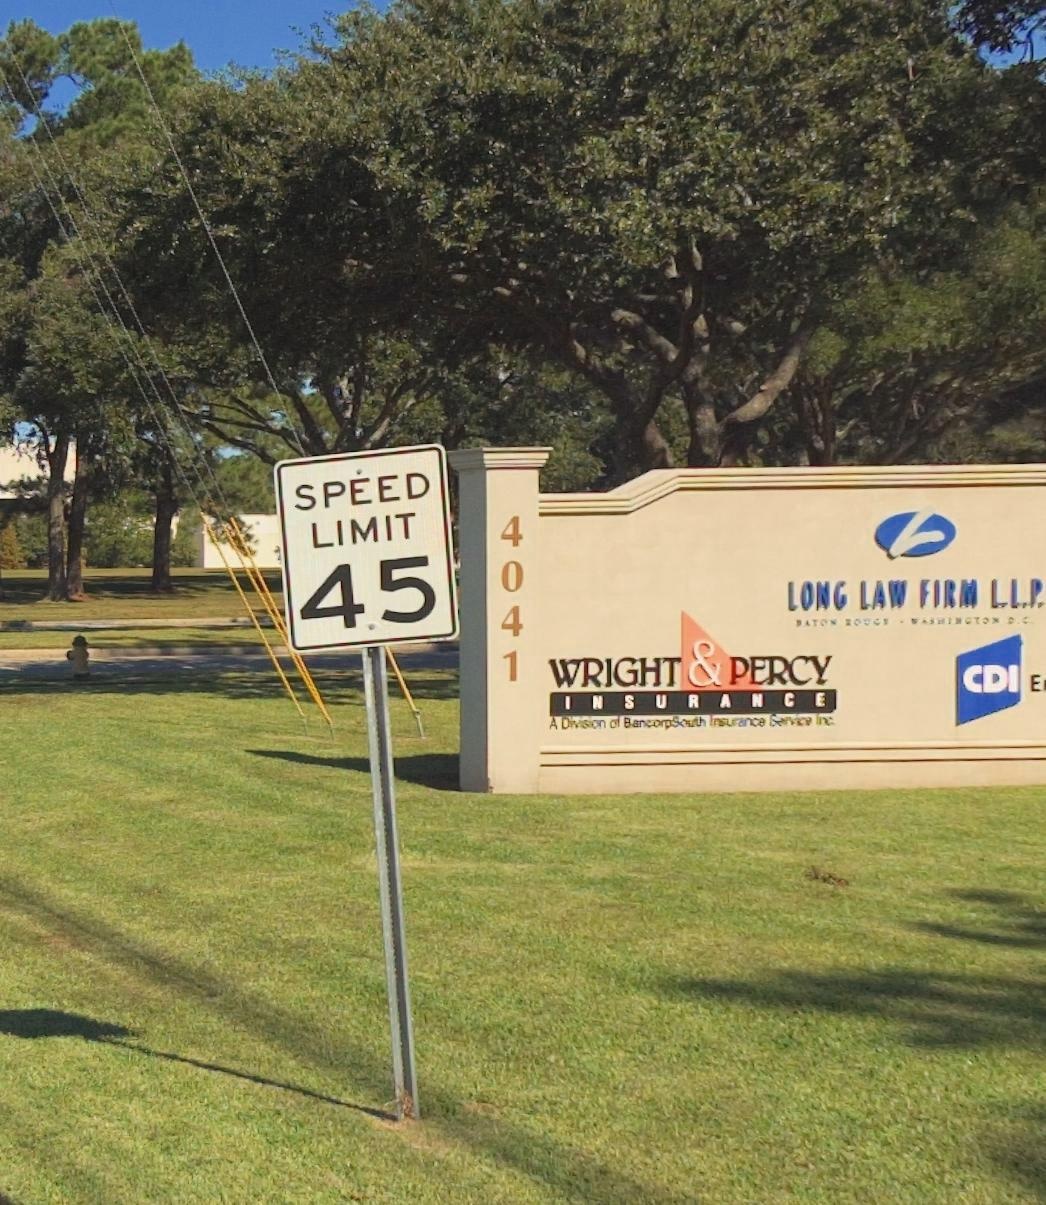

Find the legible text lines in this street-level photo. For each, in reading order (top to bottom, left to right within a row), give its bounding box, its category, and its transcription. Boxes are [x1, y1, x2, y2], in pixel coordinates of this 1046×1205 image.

[291, 469, 433, 515] None: SPEED
[307, 508, 423, 554] None: LIMIT
[294, 549, 442, 634] None: 45
[497, 512, 527, 685] StreetNumber: 4041
[782, 575, 1045, 615] BusinessName: LONG LAW FIRM L.L.P.
[794, 614, 1036, 630] None: BATON ROUGE * WASHINGTON D.C.
[543, 636, 836, 691] BusinessName: WRIGHT & PERCY
[561, 689, 829, 713] BusinessName: INSURANCE
[958, 661, 1024, 698] None: CDI
[1027, 672, 1045, 695] None: E
[544, 710, 837, 733] None: A Division of BancorpSouth Insurance Servie Inc.